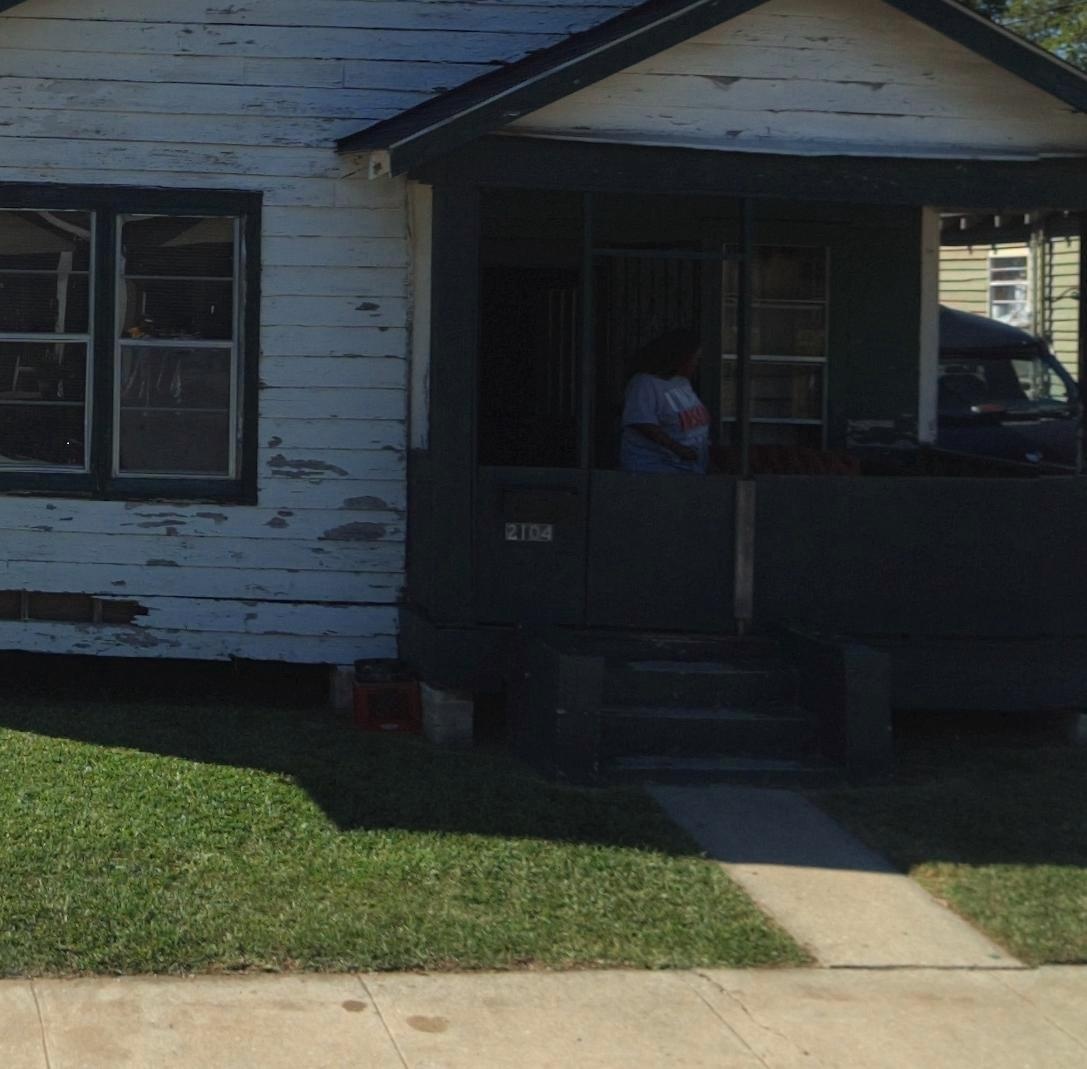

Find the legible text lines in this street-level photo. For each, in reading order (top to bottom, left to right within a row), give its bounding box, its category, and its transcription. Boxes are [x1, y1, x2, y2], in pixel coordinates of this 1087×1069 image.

[504, 522, 554, 543] StreetNumber: 2104